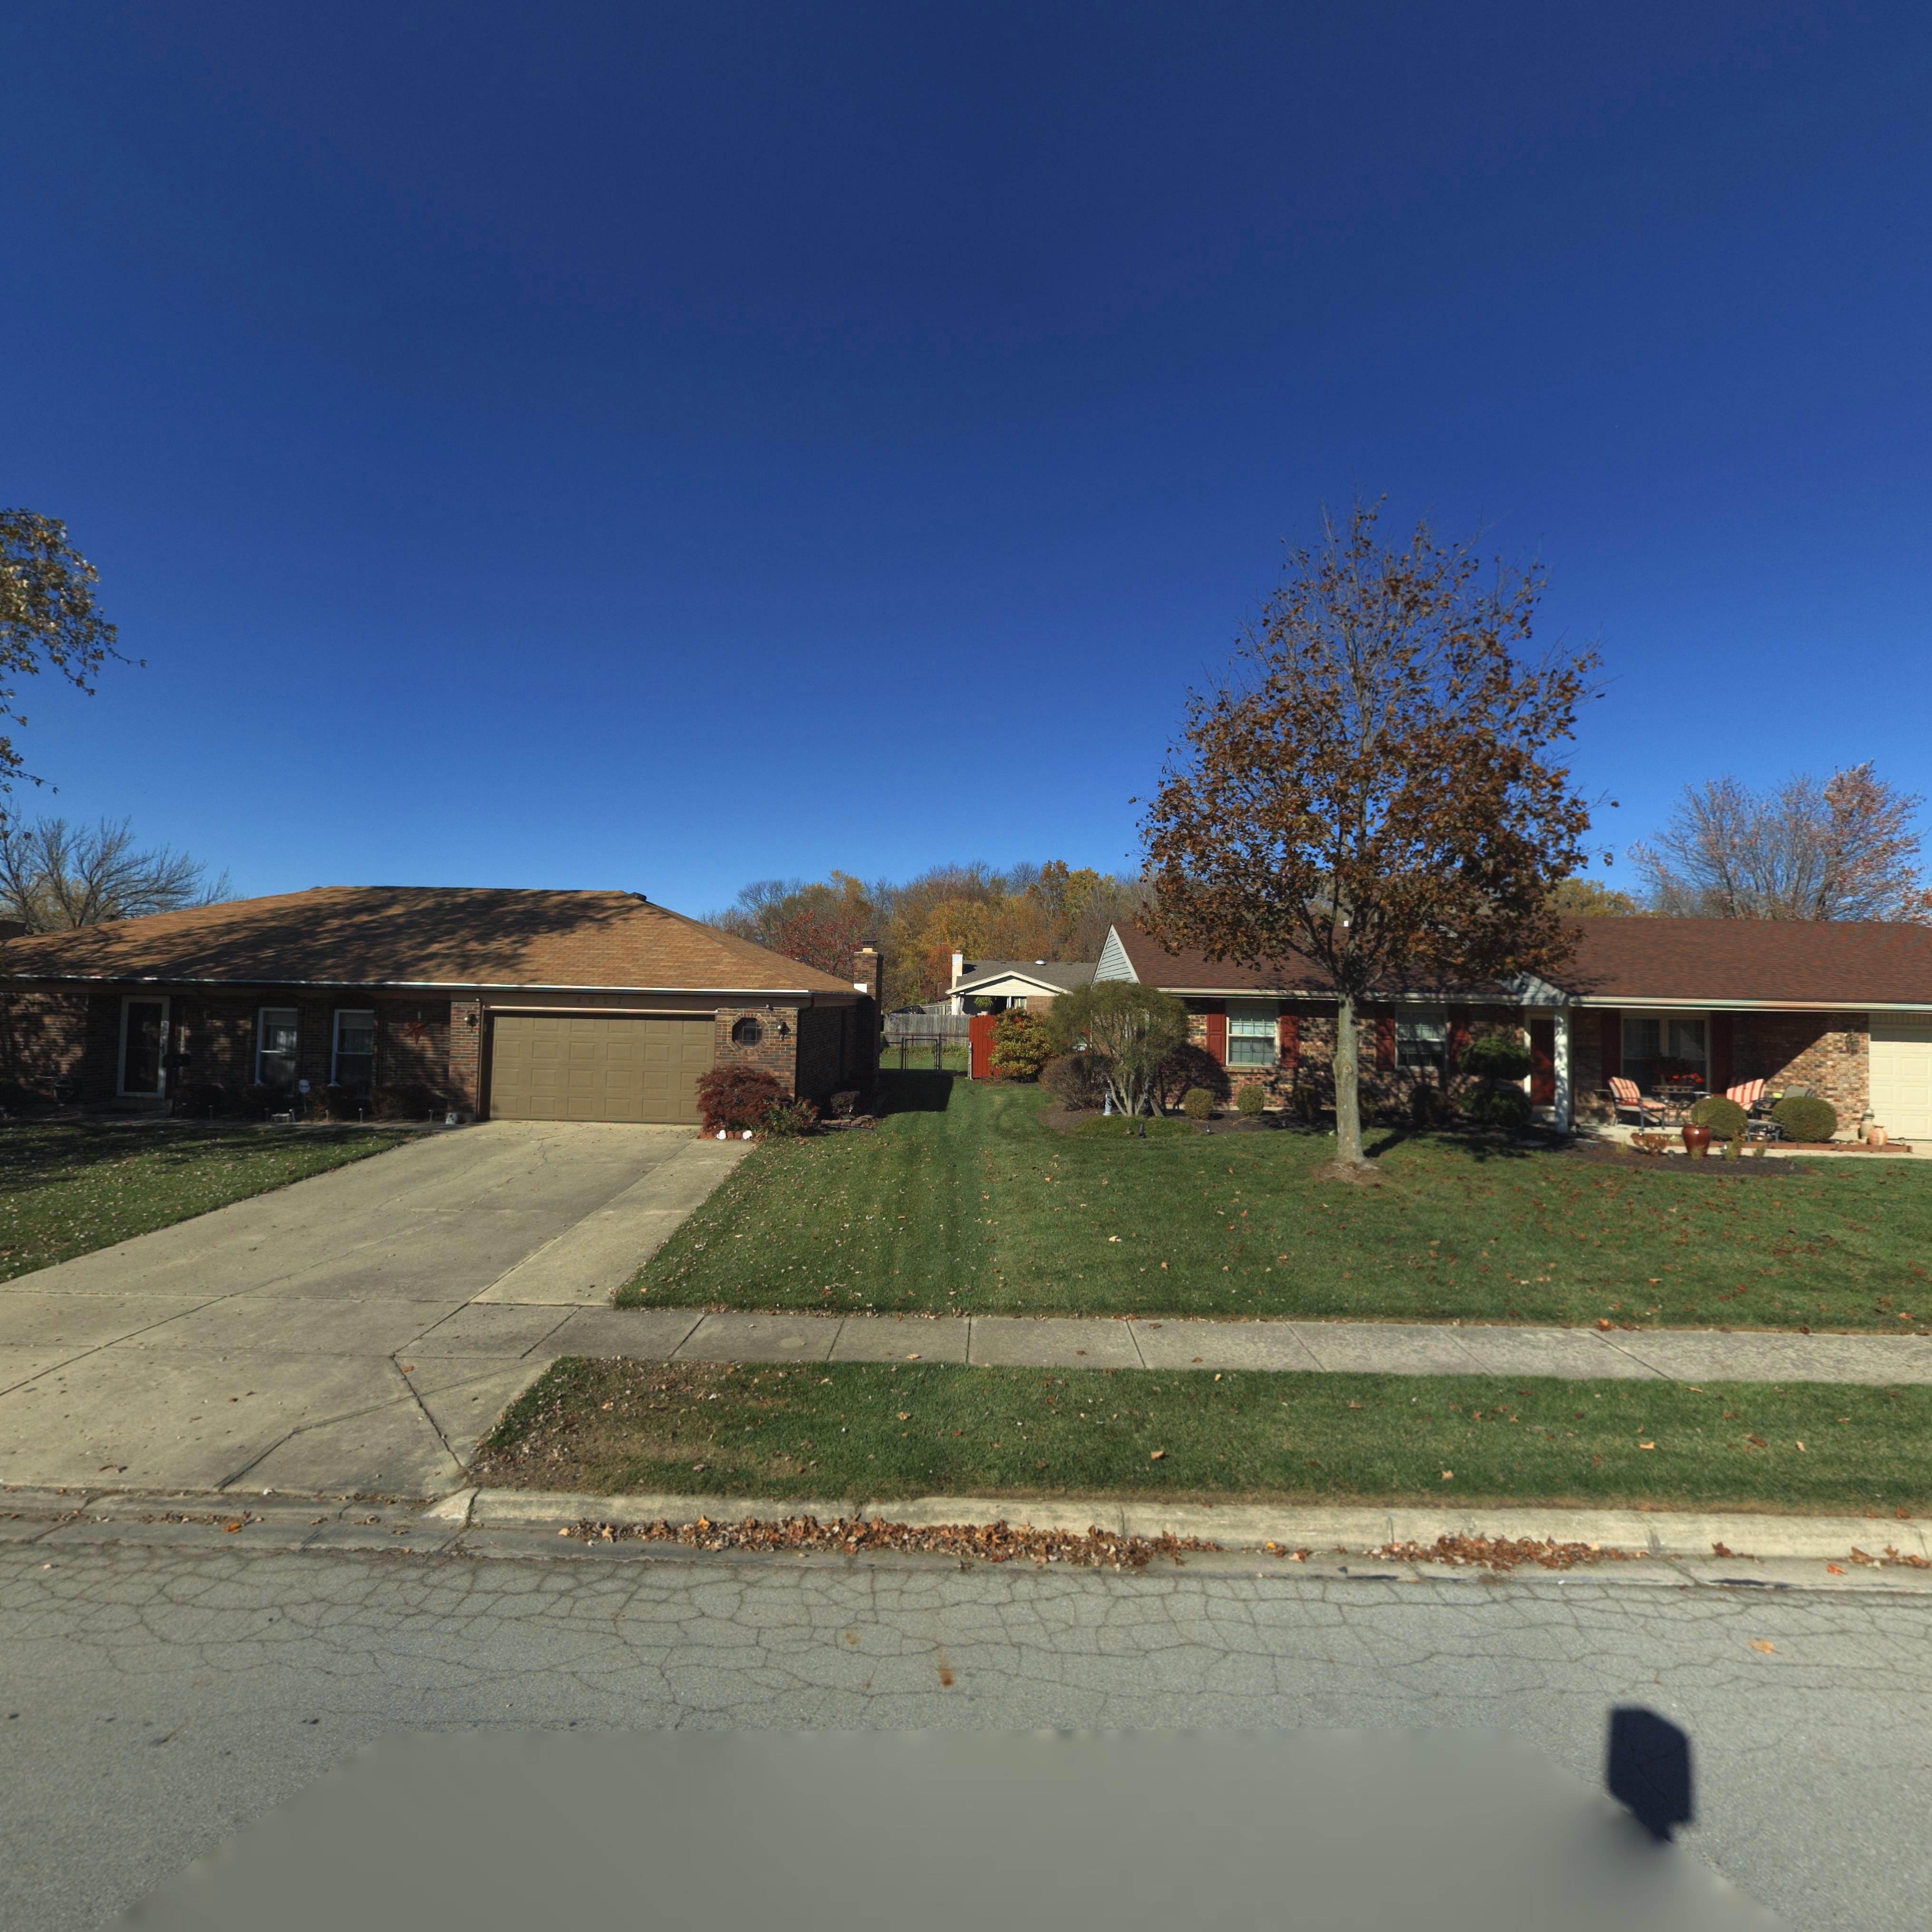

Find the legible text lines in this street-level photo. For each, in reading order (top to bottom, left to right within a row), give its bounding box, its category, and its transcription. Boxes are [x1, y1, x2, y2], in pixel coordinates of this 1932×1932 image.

[576, 995, 623, 1005] StreetNumber: 40*7